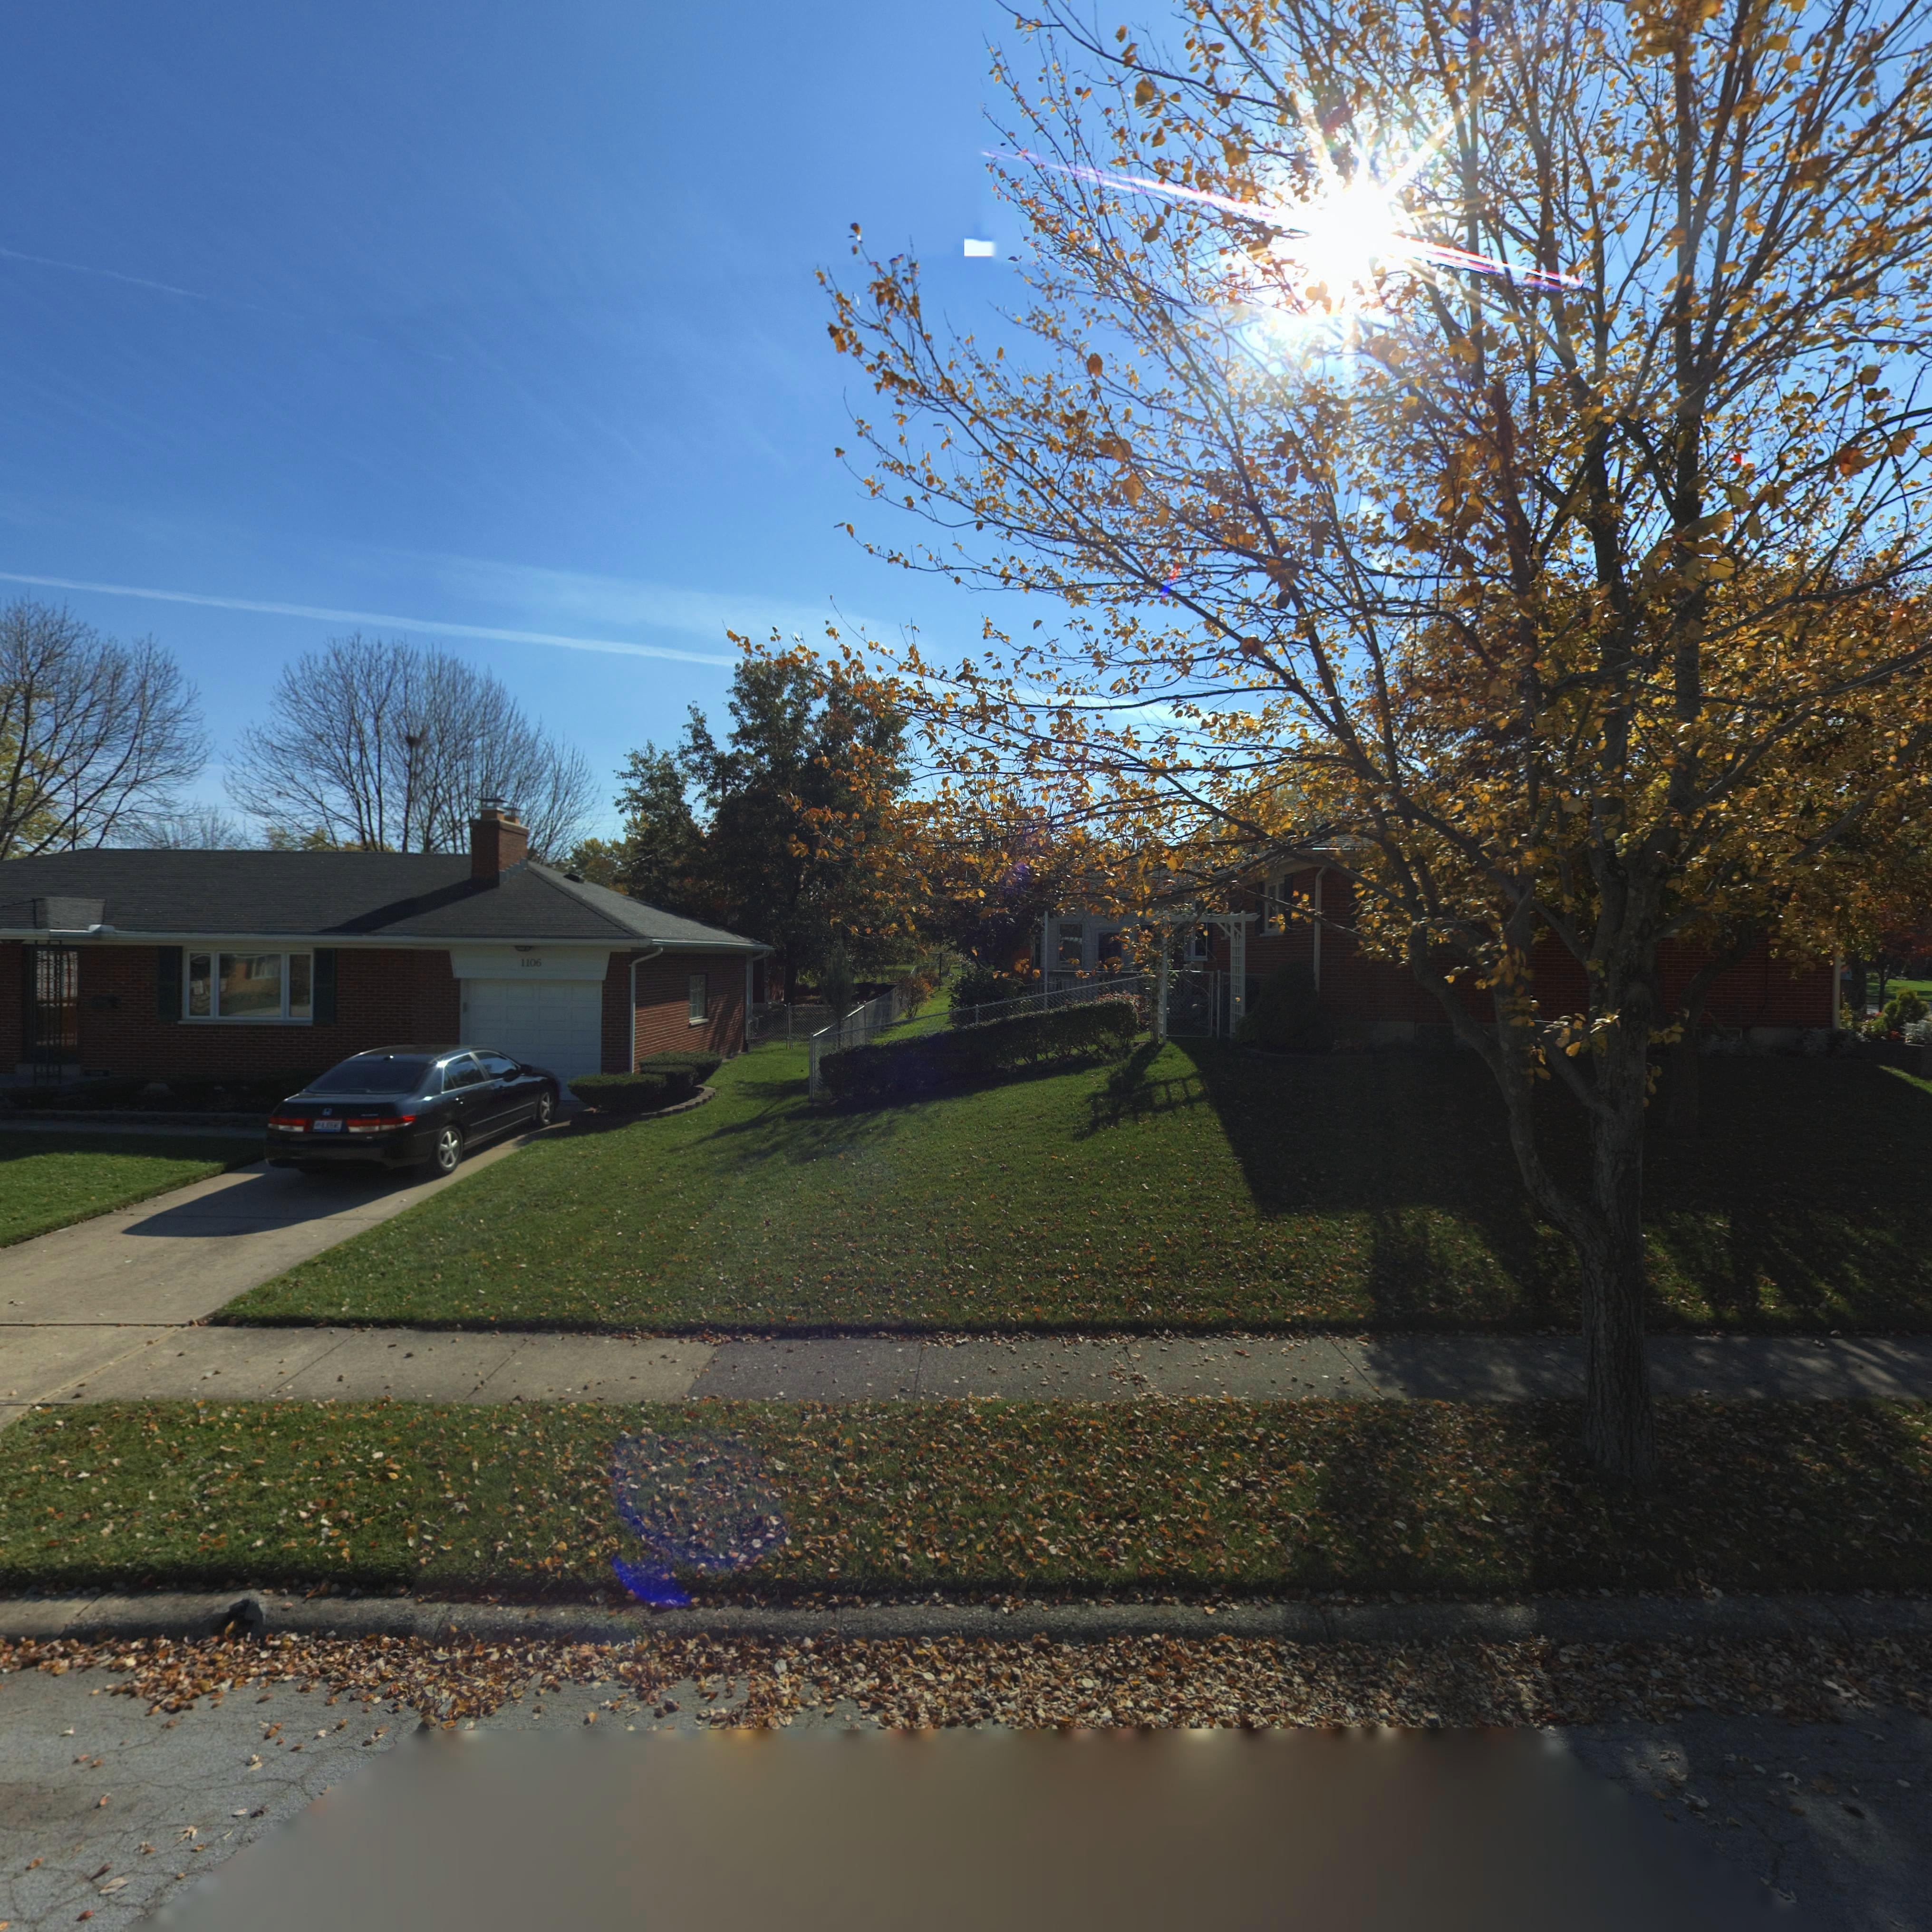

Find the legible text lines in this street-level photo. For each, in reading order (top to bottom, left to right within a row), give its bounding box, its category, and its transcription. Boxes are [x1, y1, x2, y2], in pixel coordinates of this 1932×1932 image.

[520, 958, 542, 966] StreetNumber: 1106
[359, 1112, 378, 1117] None: ACCORD
[320, 1121, 340, 1128] None: AJ062WC